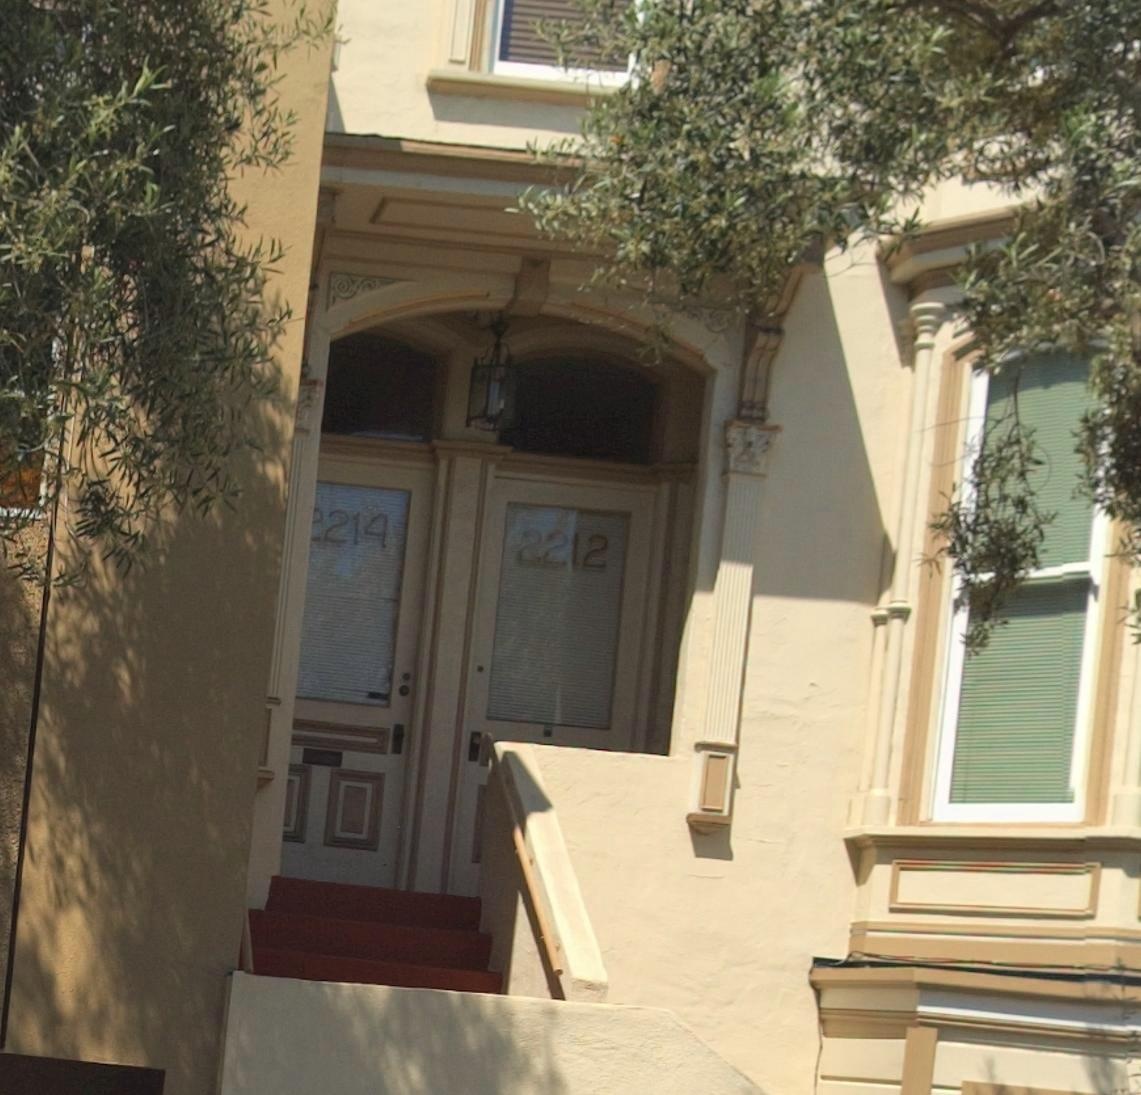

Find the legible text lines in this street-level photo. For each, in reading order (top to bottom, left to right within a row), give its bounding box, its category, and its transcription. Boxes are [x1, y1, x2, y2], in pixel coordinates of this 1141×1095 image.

[321, 508, 390, 551] StreetNumber: 214
[516, 527, 610, 569] StreetNumber: 2212